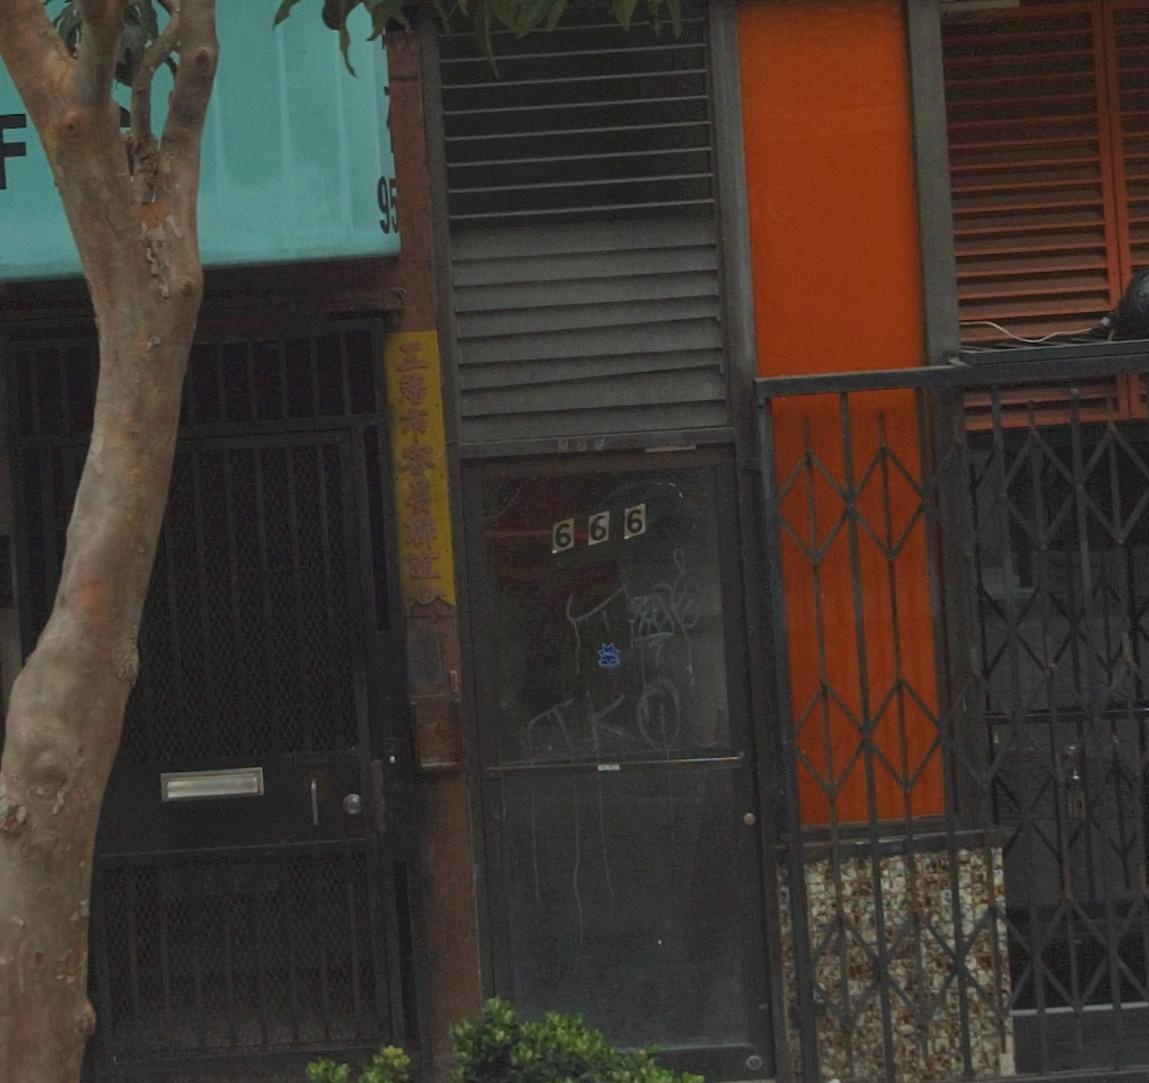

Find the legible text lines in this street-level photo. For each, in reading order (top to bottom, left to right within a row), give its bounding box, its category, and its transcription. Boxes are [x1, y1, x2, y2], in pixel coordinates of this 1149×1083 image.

[373, 171, 403, 238] None: 95
[552, 504, 646, 554] StreetNumber: 666
[578, 670, 689, 761] None: KO